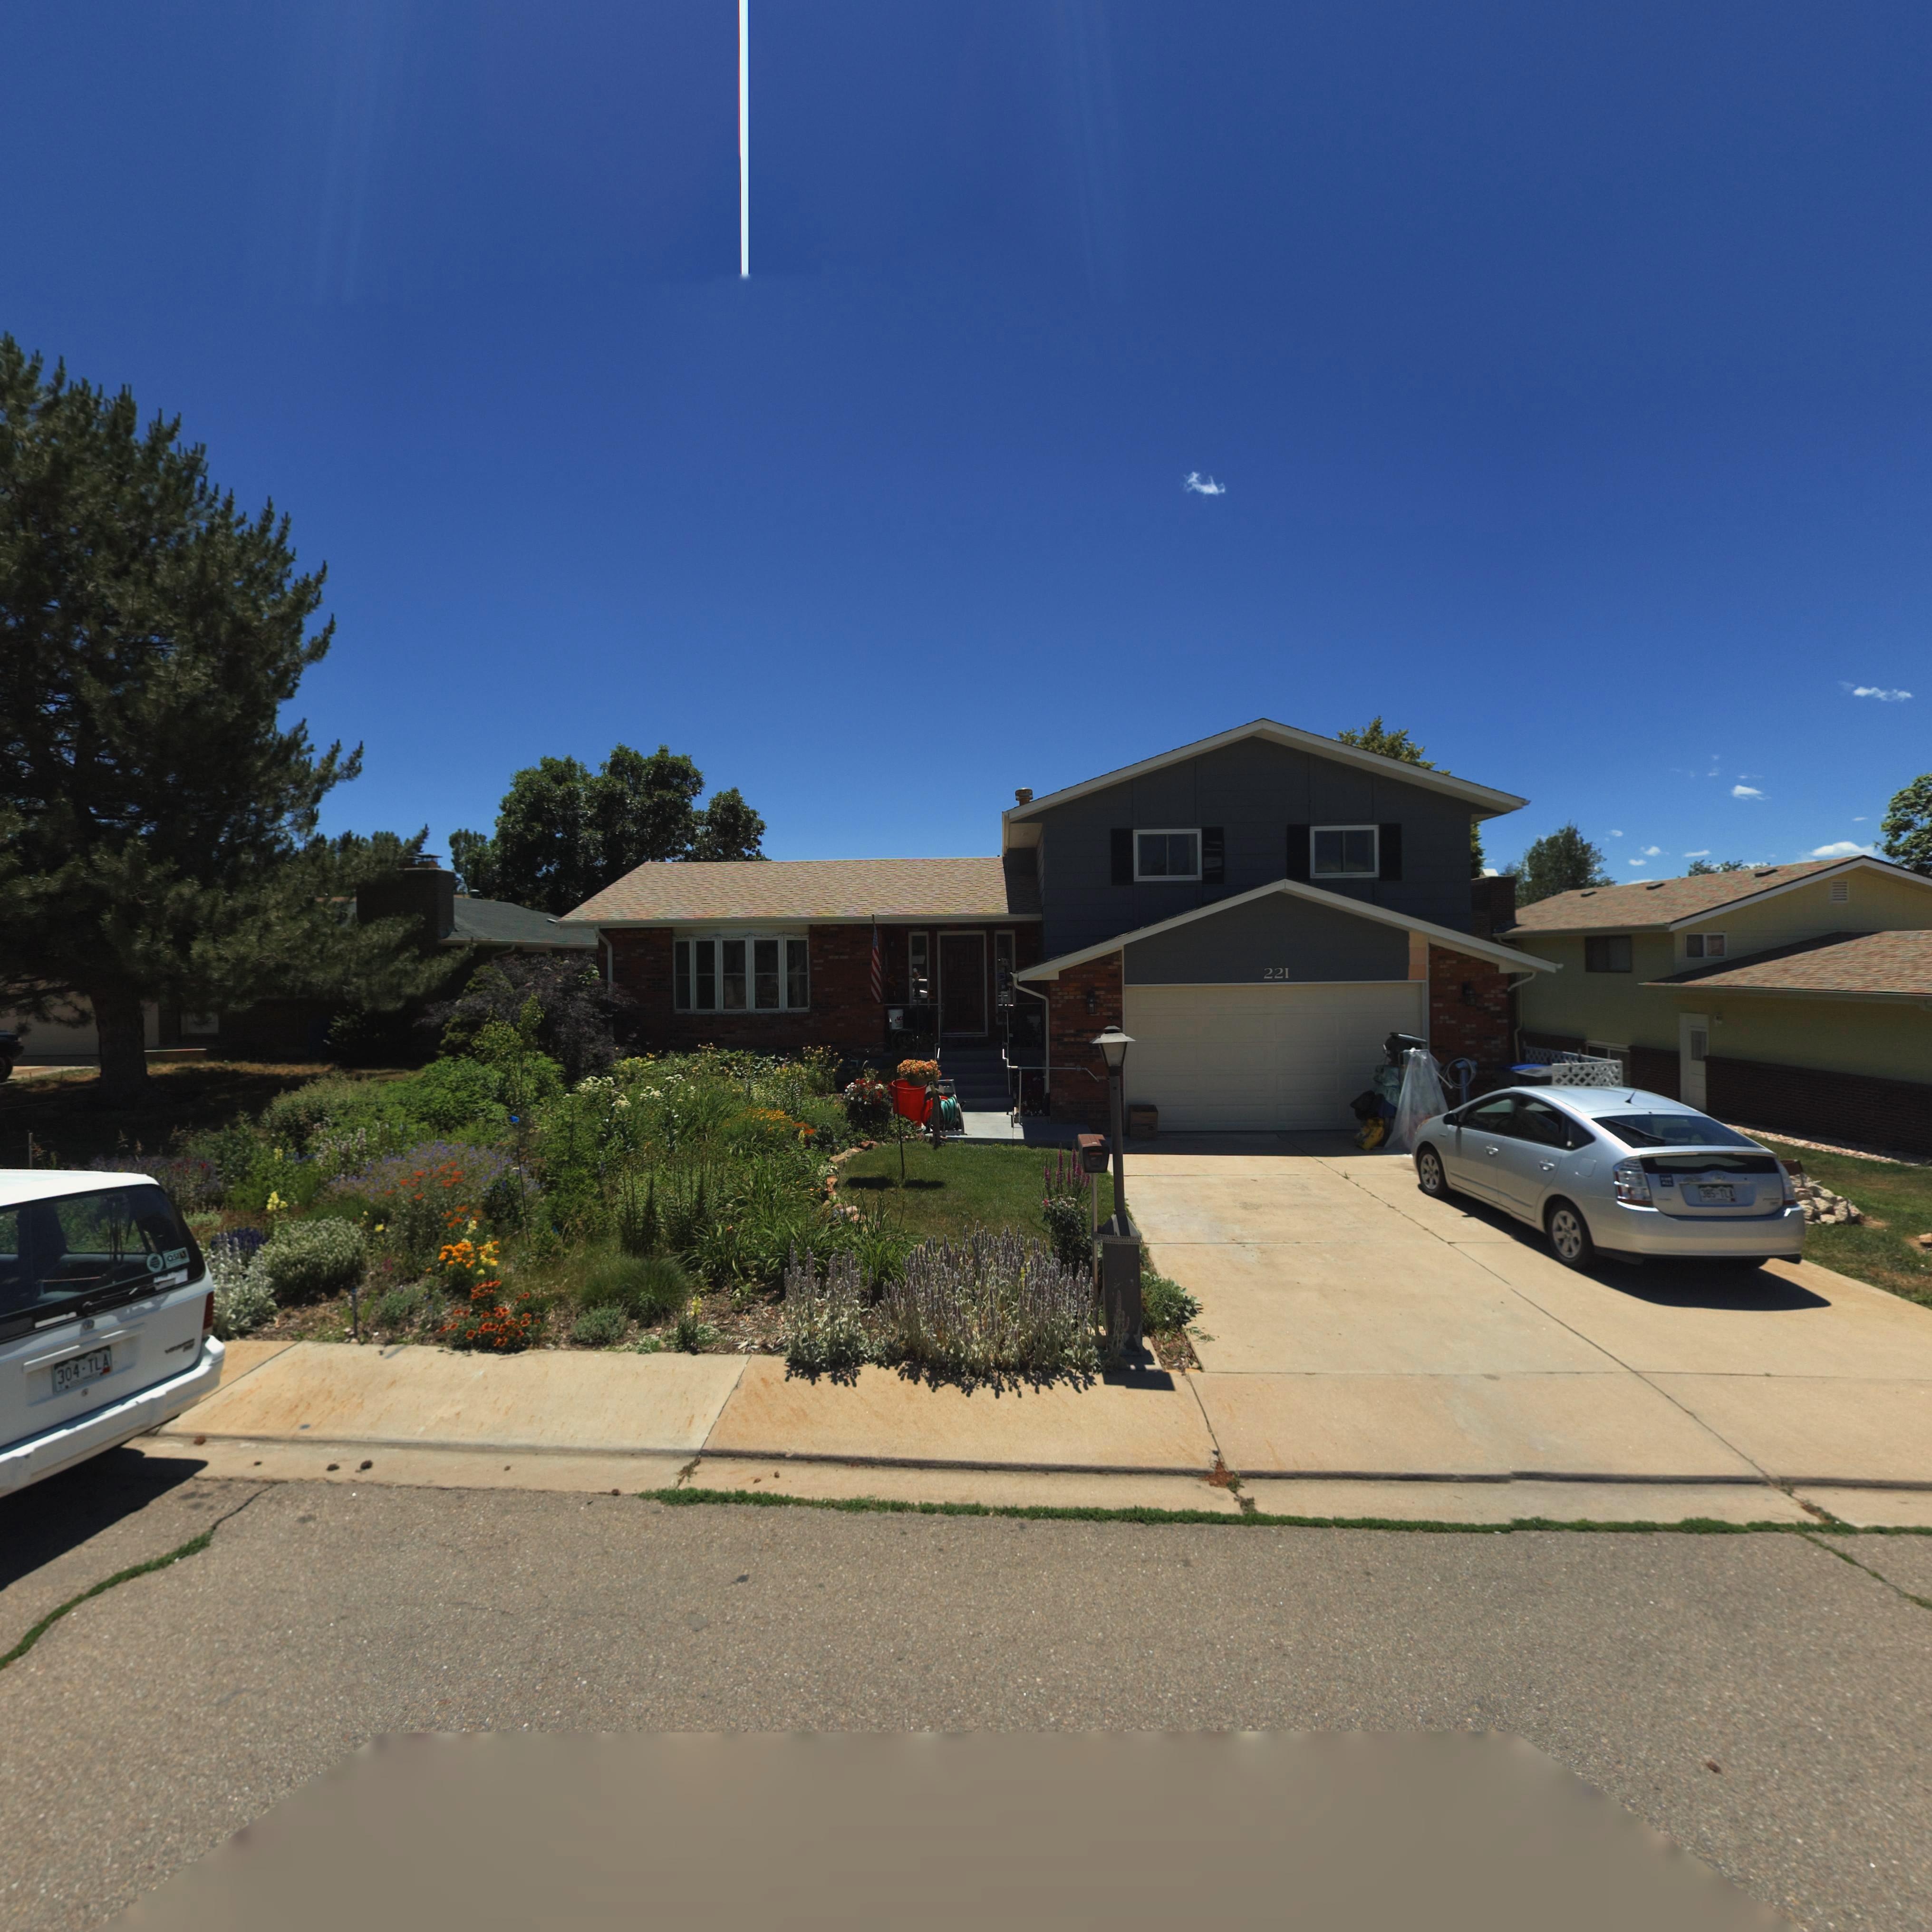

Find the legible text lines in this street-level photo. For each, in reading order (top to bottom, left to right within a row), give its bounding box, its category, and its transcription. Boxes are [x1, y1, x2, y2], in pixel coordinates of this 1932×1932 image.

[1263, 967, 1289, 979] StreetNumber: 221